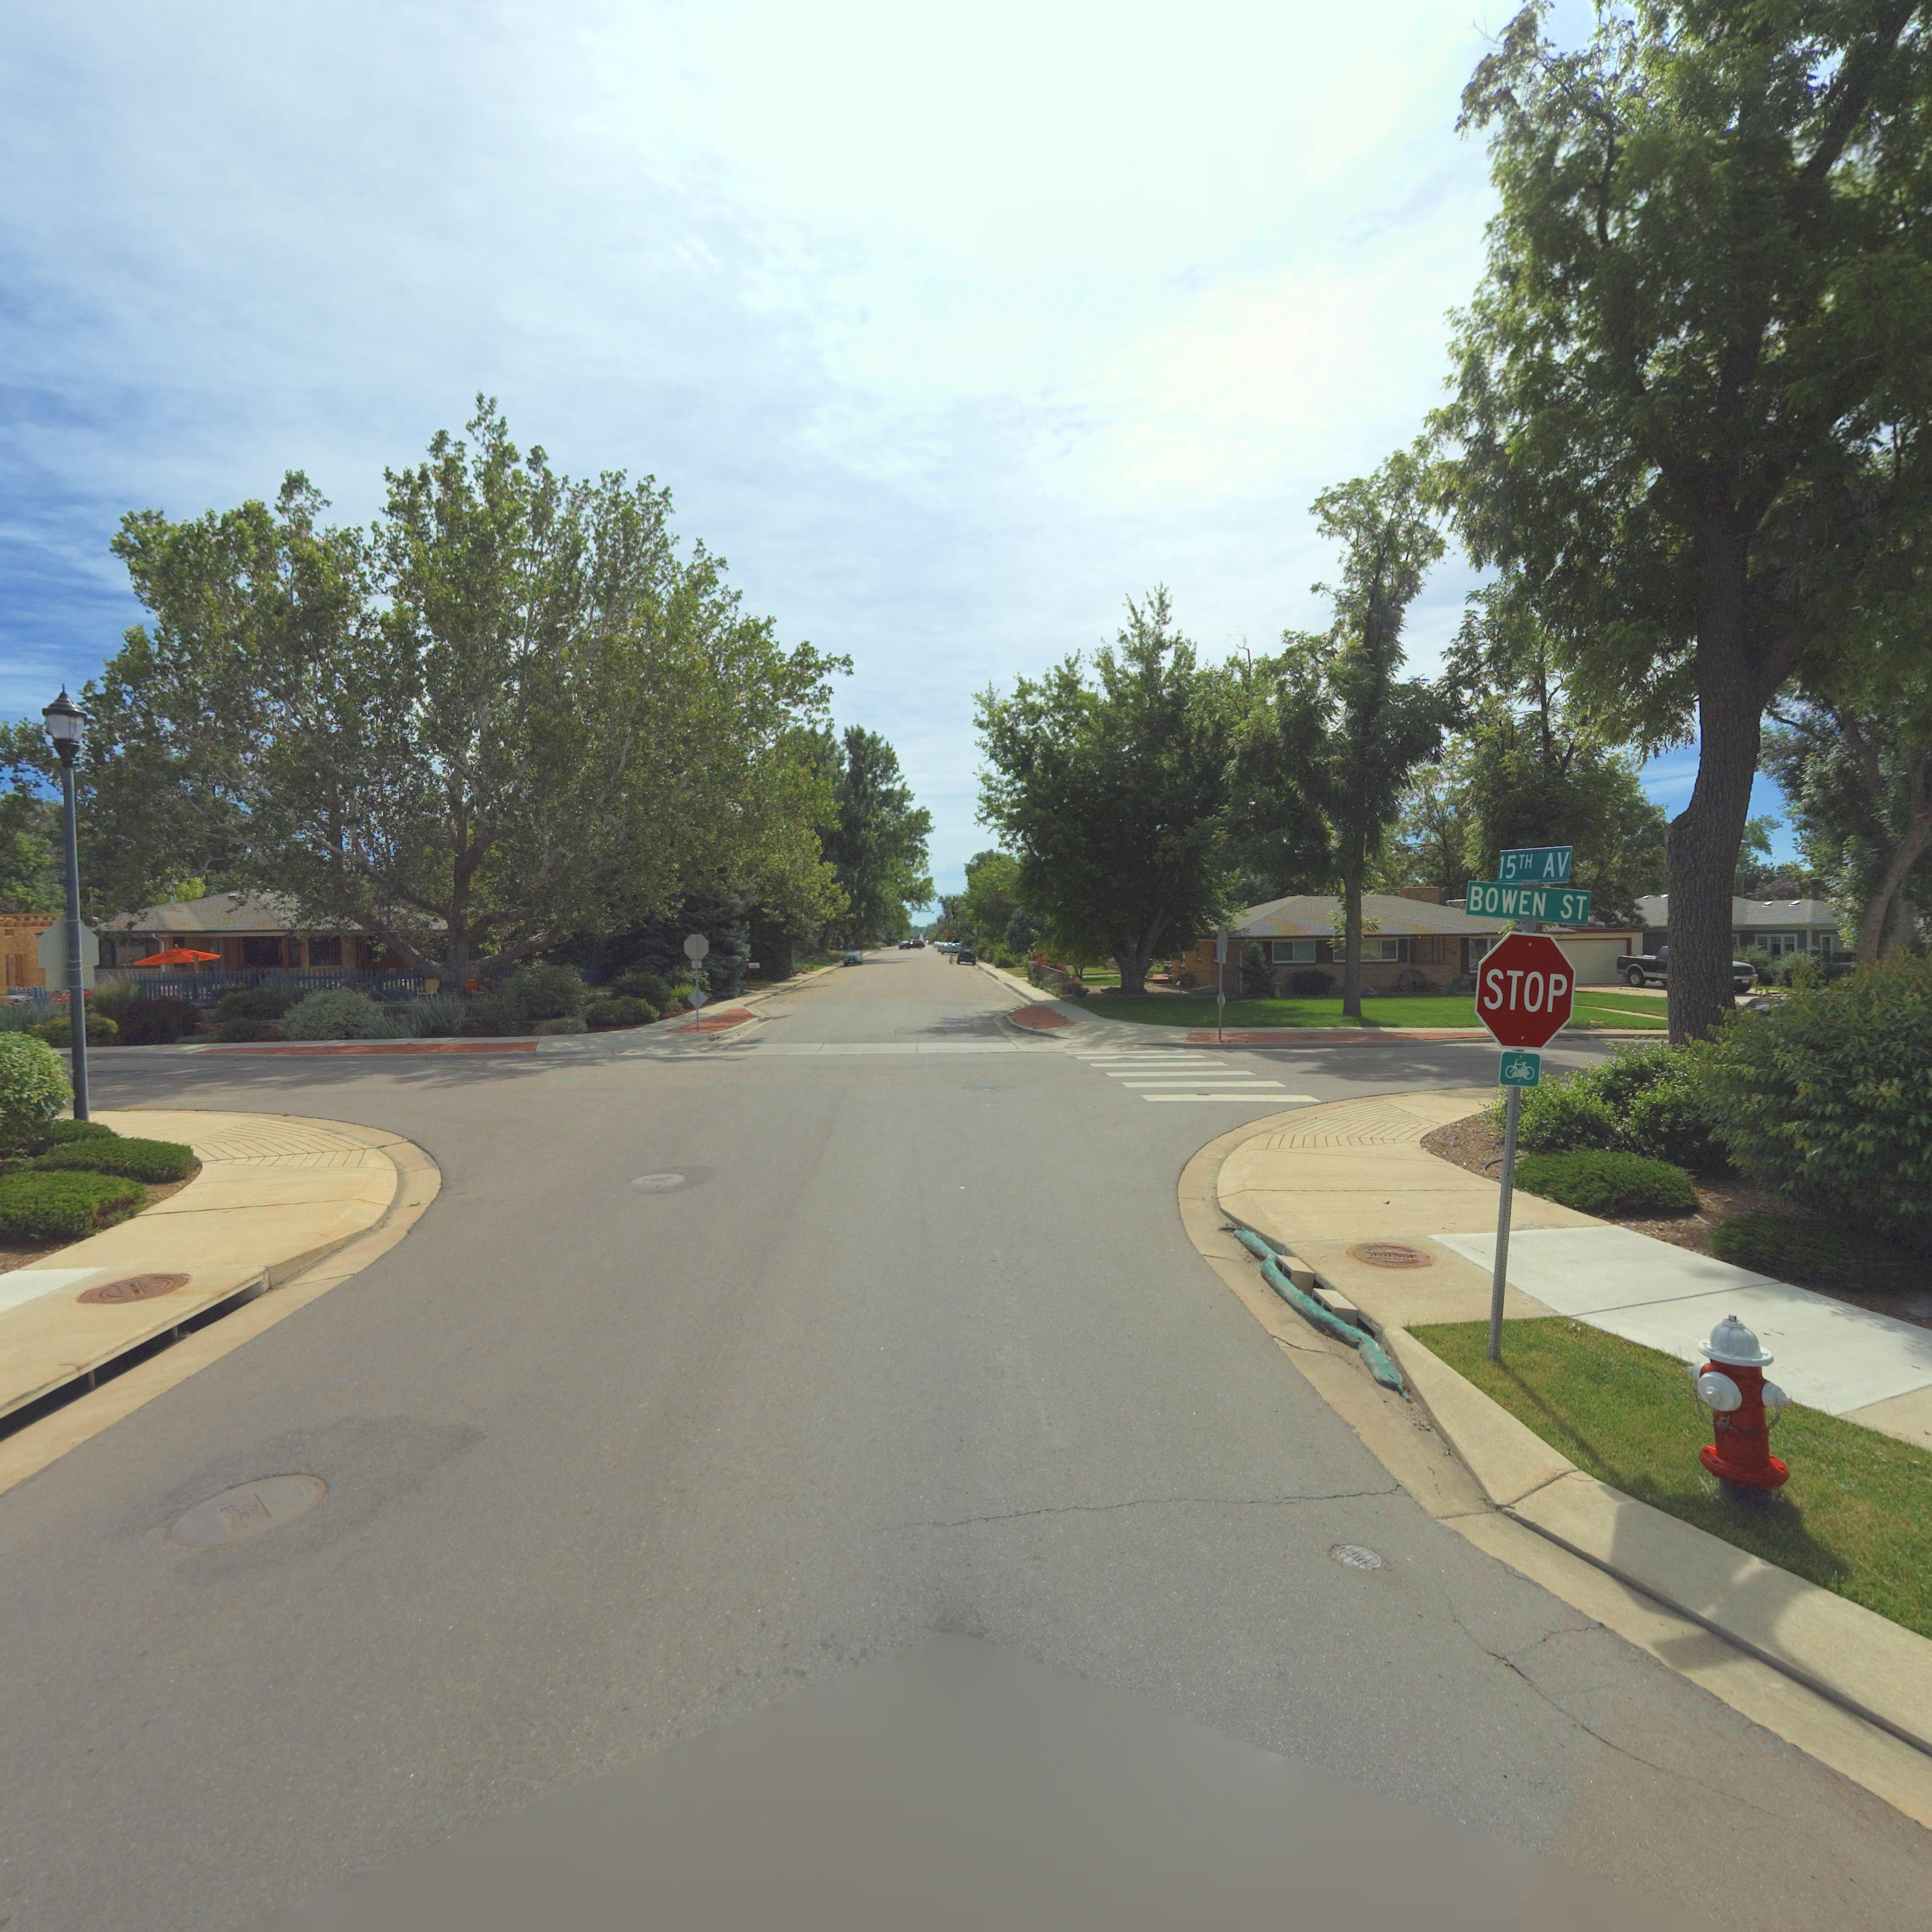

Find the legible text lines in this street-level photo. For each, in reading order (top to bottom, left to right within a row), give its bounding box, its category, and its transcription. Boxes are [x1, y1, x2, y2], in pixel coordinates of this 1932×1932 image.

[1498, 850, 1571, 879] StreetName: 15TH AV
[1469, 885, 1587, 921] StreetName: BOWEN ST
[1445, 947, 1457, 956] None: 950